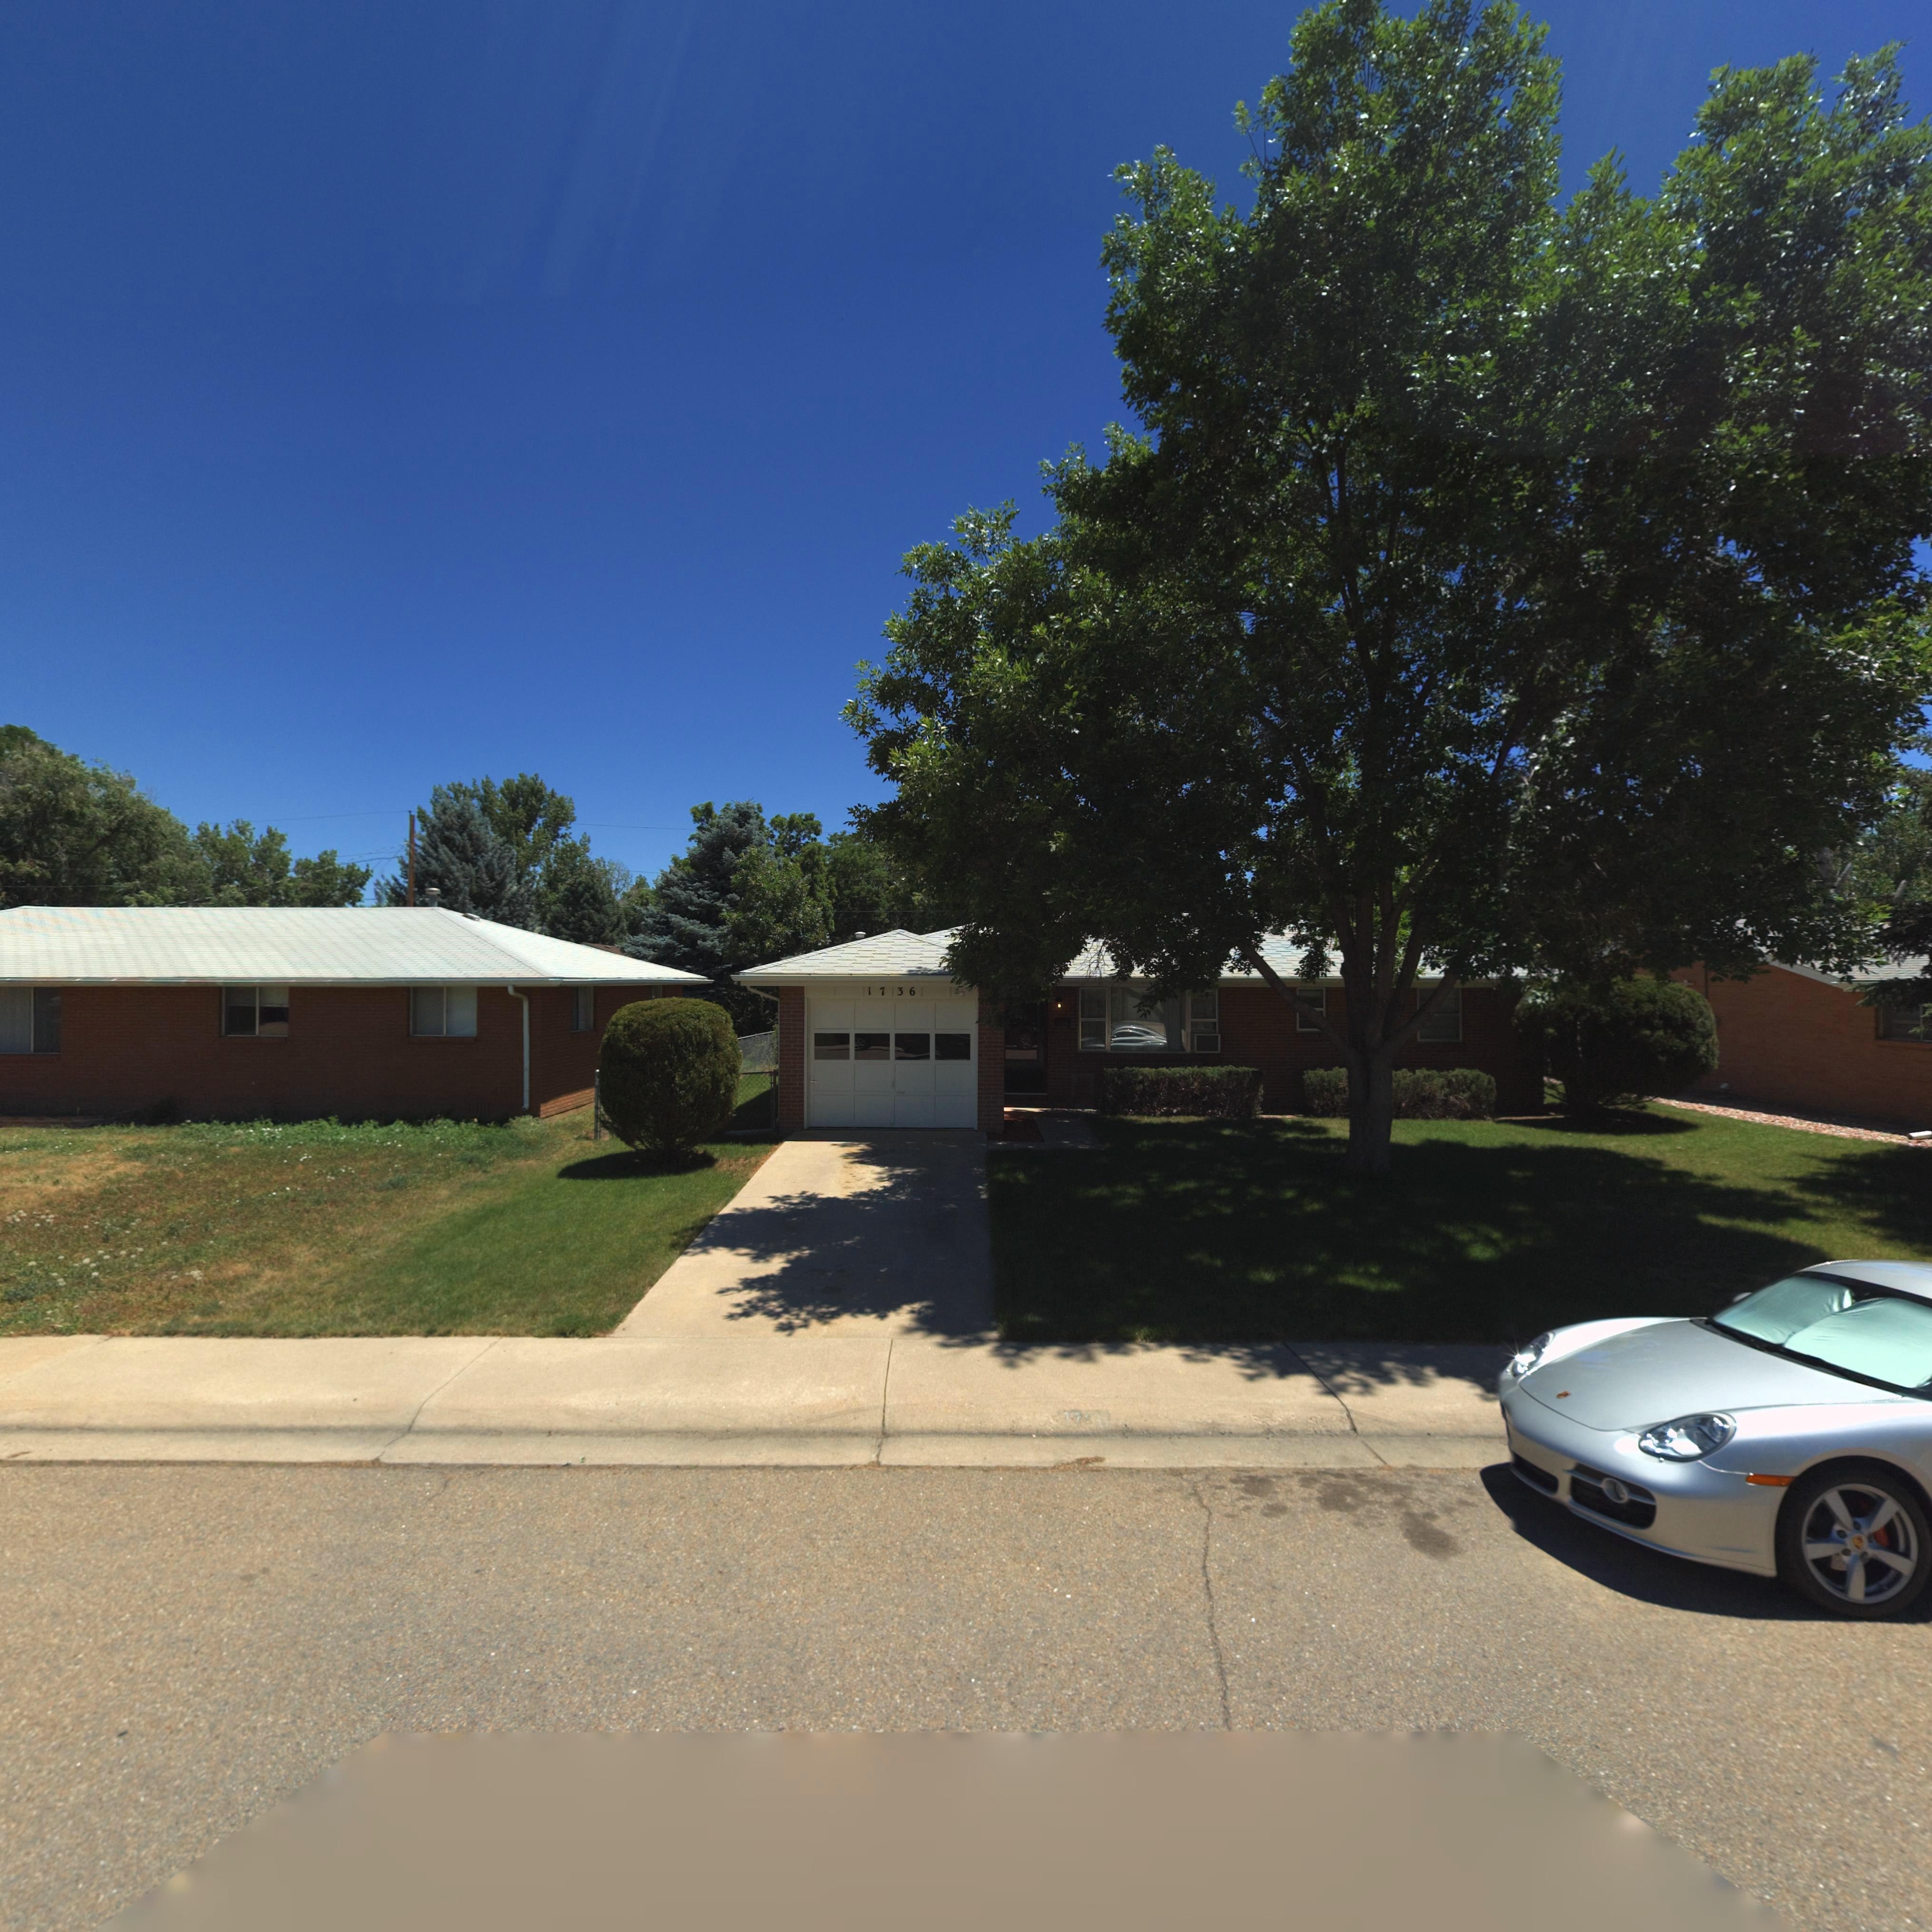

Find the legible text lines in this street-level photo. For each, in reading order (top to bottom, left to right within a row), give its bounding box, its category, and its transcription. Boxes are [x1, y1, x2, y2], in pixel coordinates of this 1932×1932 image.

[868, 986, 915, 996] StreetNumber: 1736